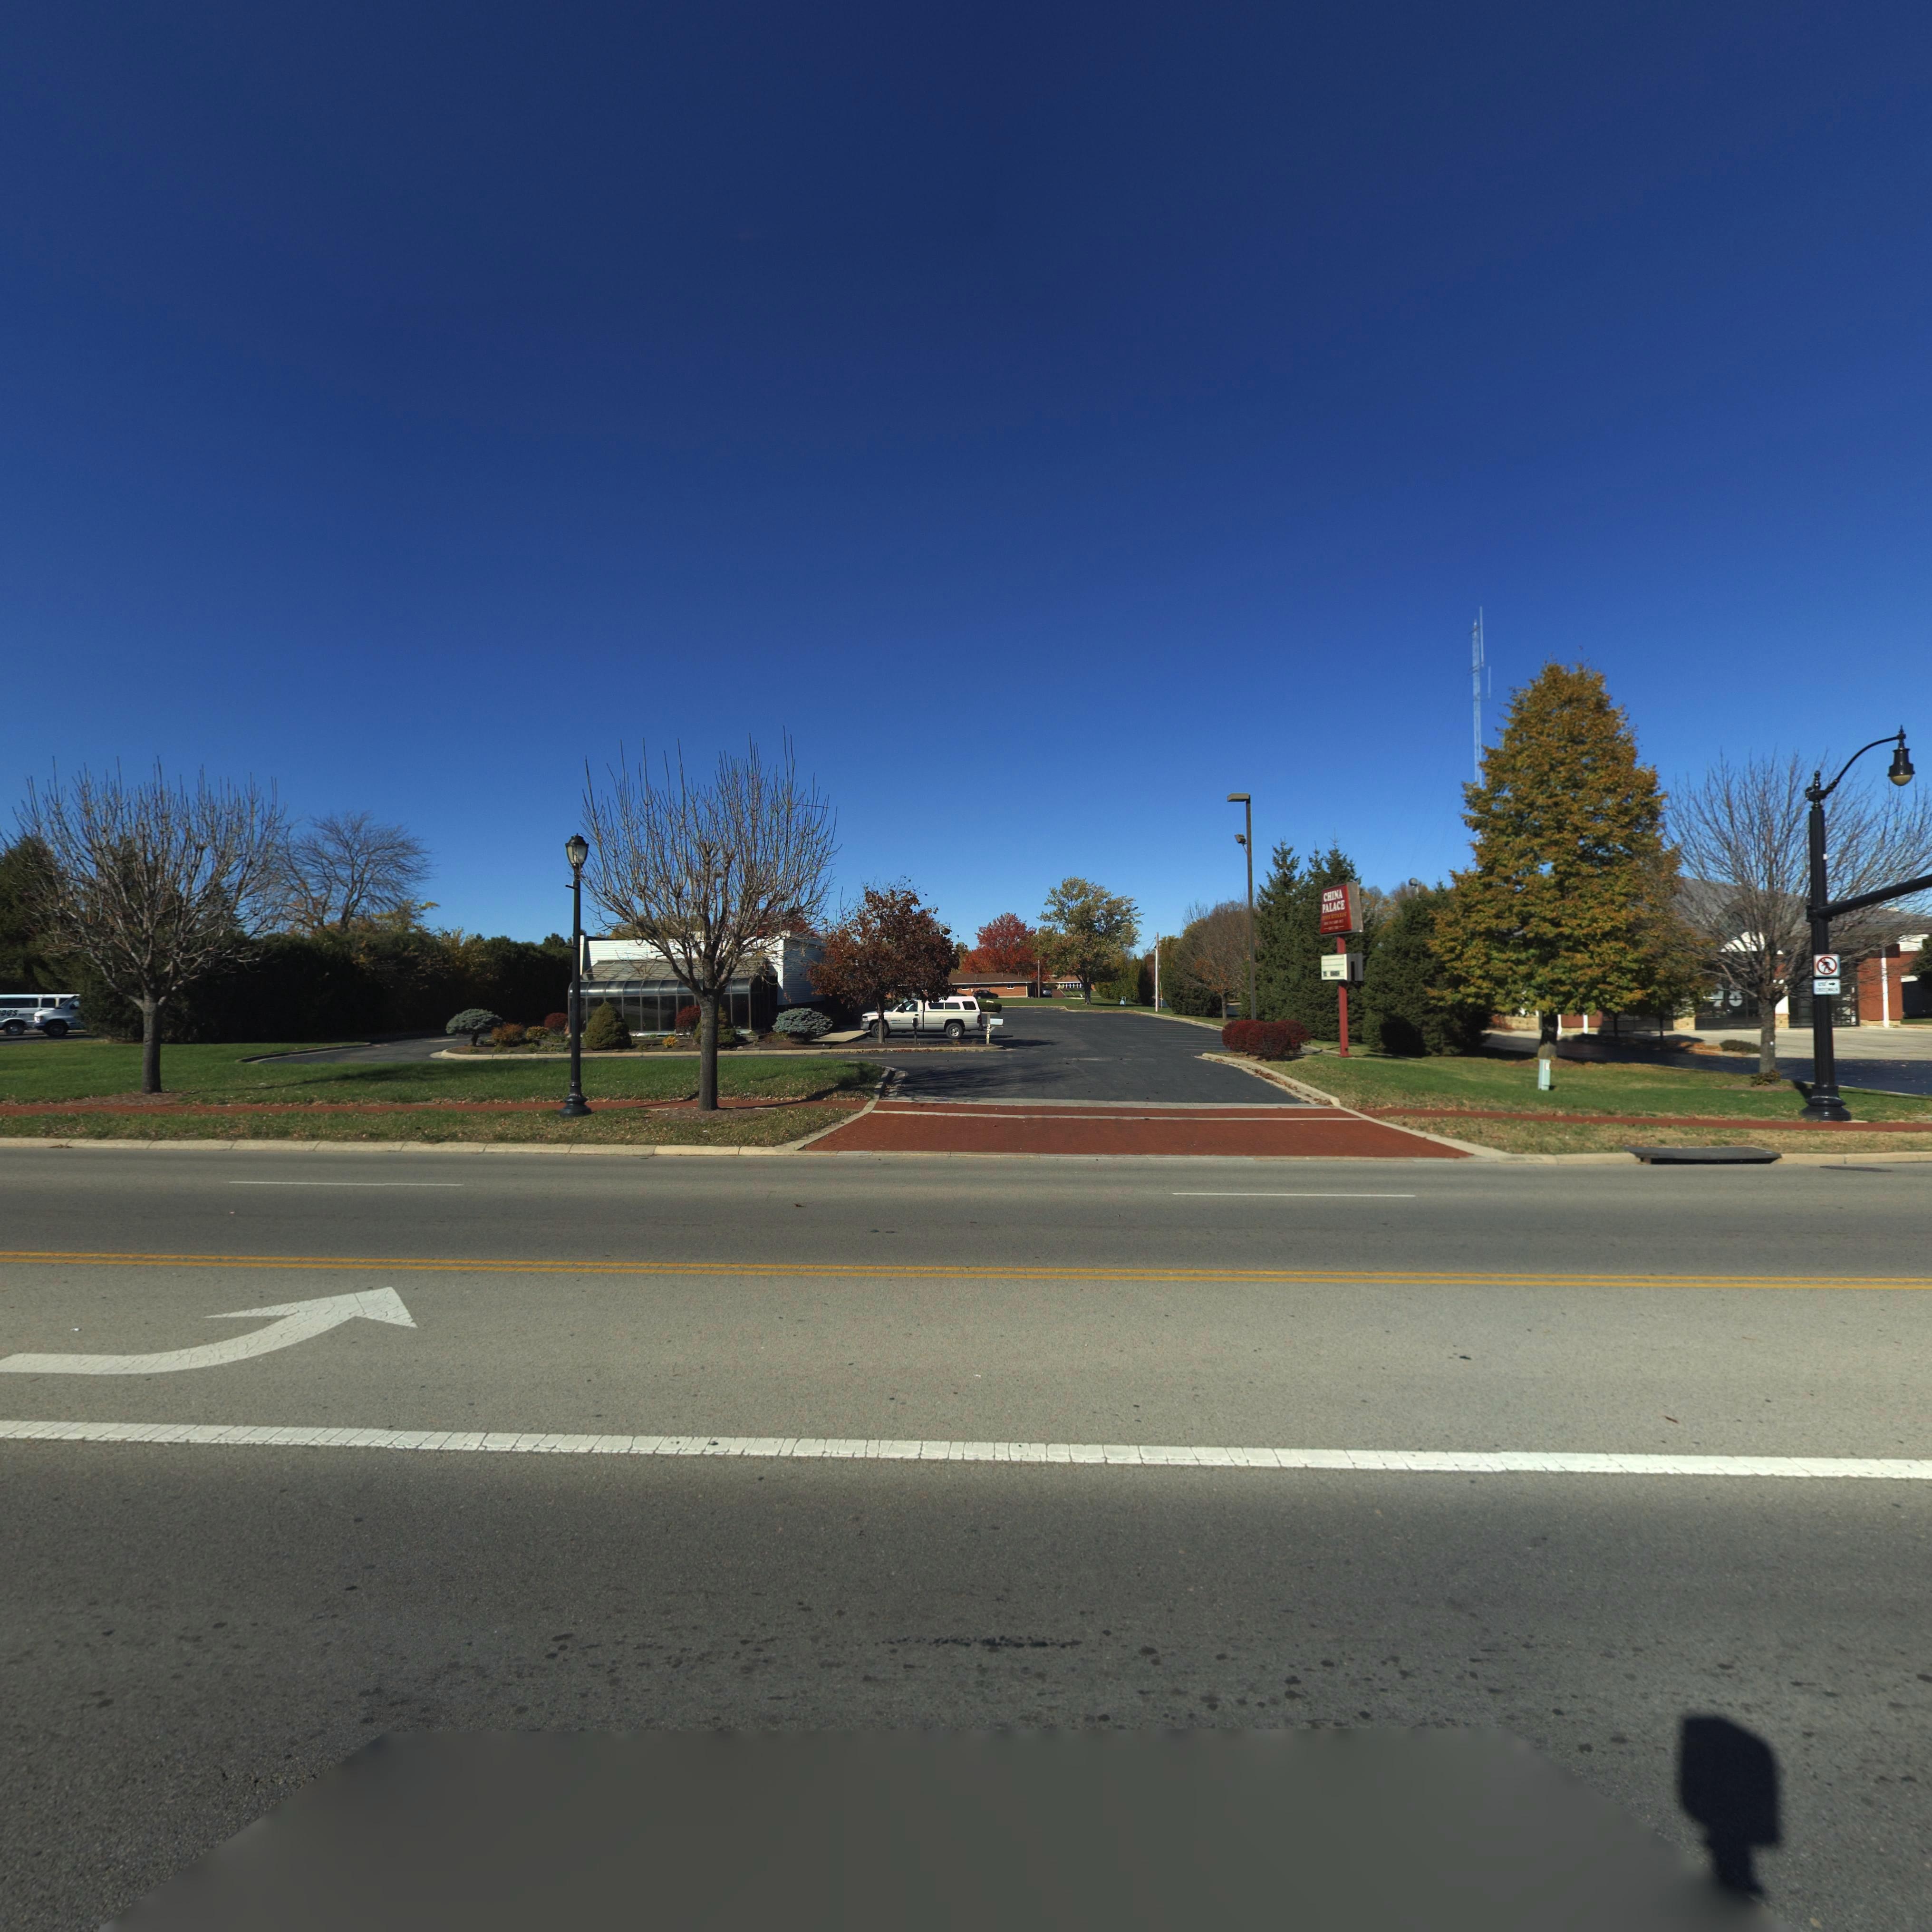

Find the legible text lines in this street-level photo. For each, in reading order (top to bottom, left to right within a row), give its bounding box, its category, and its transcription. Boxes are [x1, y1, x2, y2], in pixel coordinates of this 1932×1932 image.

[1323, 888, 1343, 903] BusinessName: CHINA
[1321, 898, 1346, 914] BusinessName: PALACE
[0, 1009, 19, 1017] BusinessName: DUS
[985, 1023, 991, 1040] StreetNumber: 375